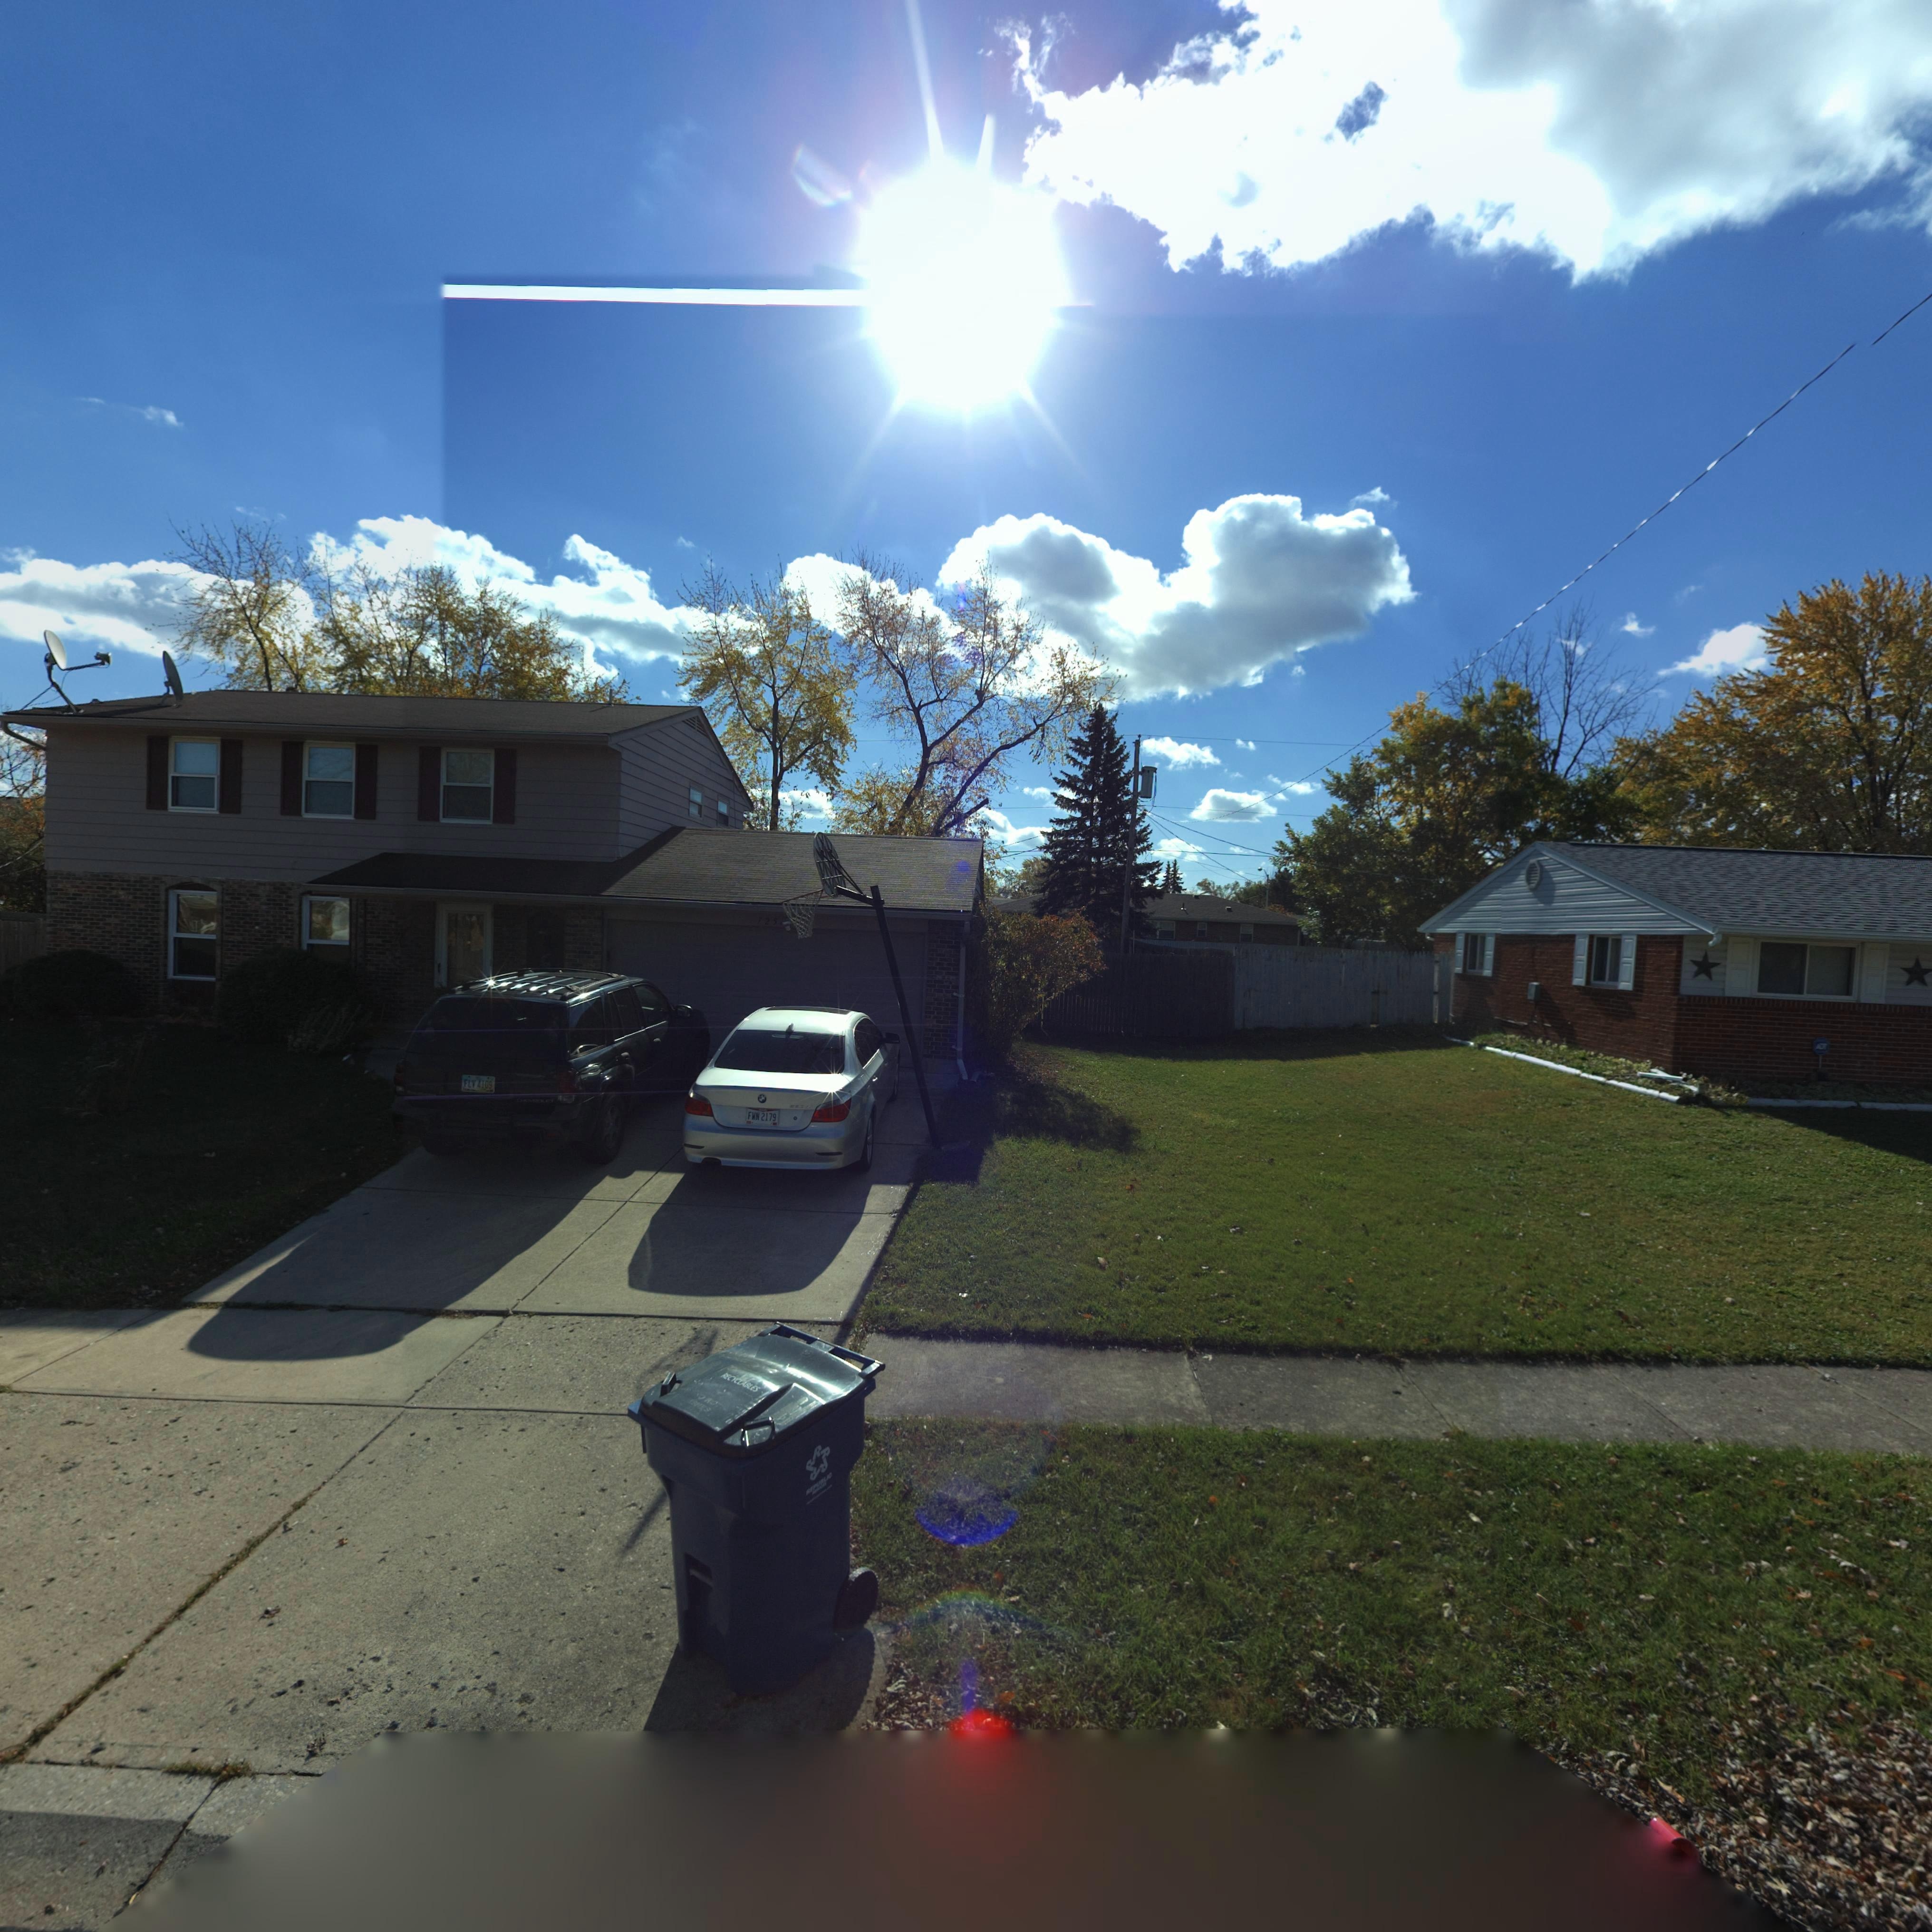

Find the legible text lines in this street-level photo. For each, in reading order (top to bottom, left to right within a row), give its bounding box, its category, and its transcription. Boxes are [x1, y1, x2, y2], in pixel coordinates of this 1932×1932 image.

[756, 916, 778, 927] StreetNumber: *25